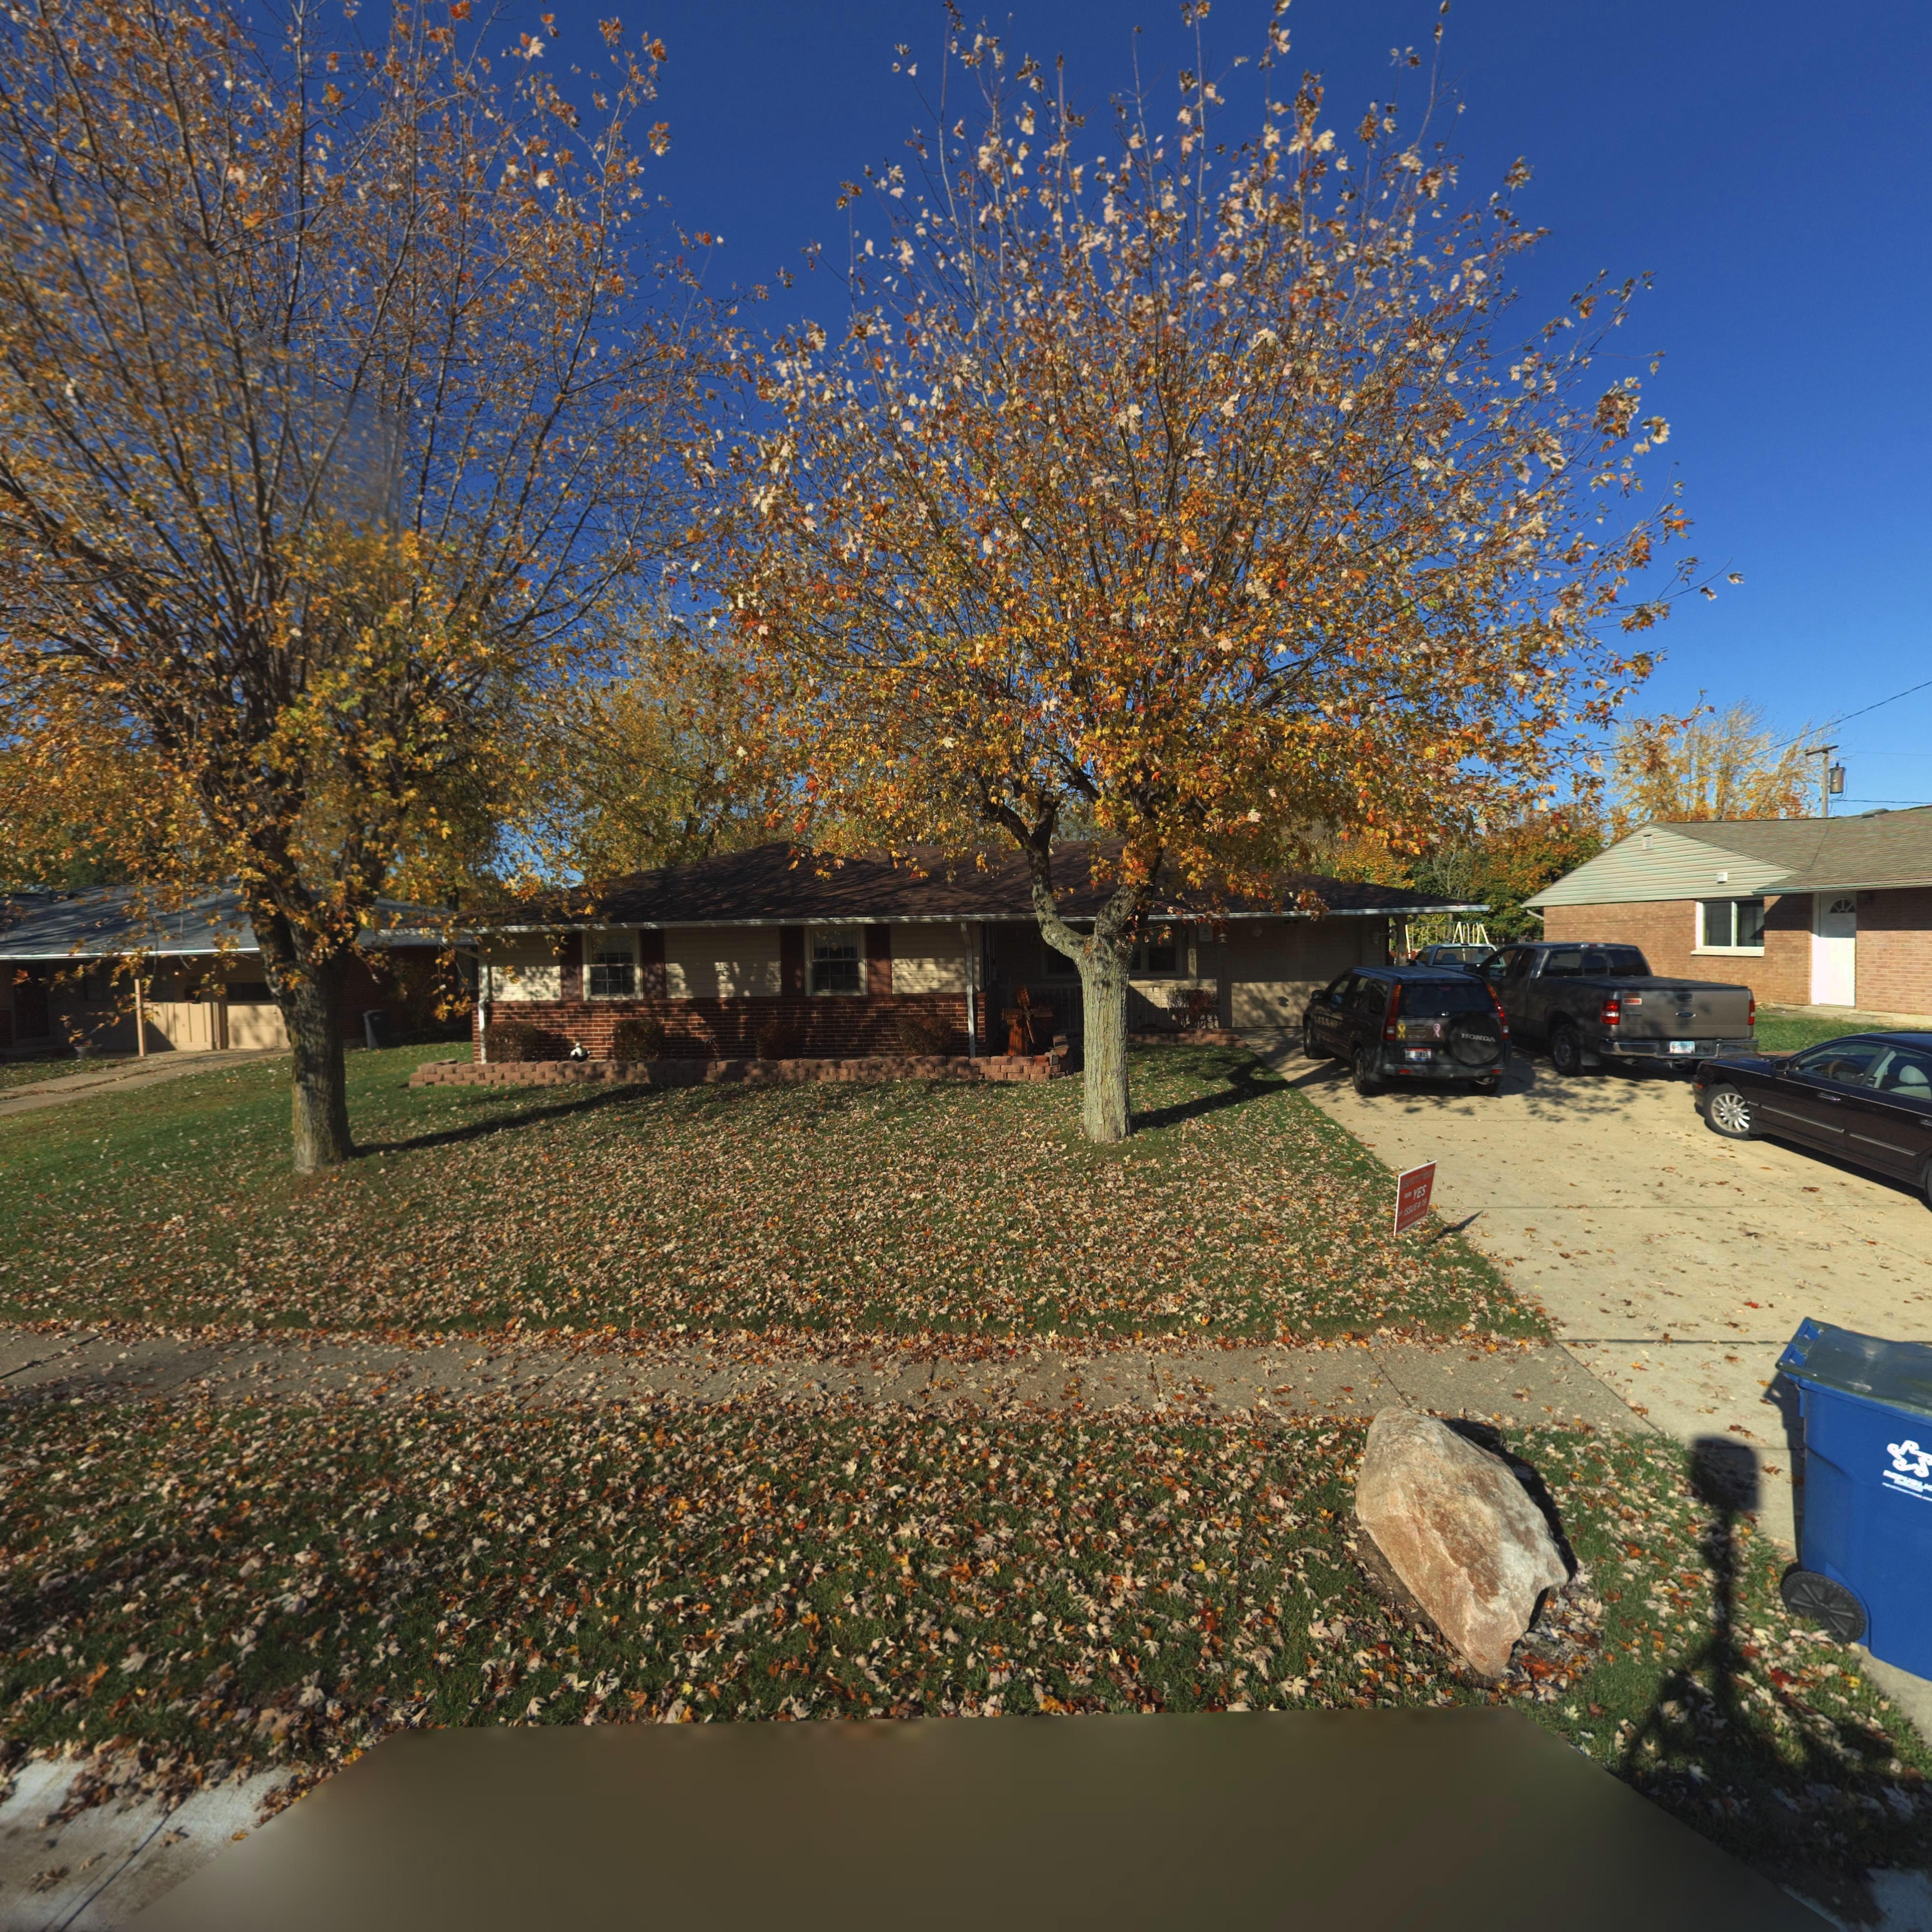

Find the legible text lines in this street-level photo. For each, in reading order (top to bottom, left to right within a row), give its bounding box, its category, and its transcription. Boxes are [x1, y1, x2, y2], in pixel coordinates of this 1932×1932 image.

[1189, 952, 1197, 969] StreetNumber: 13